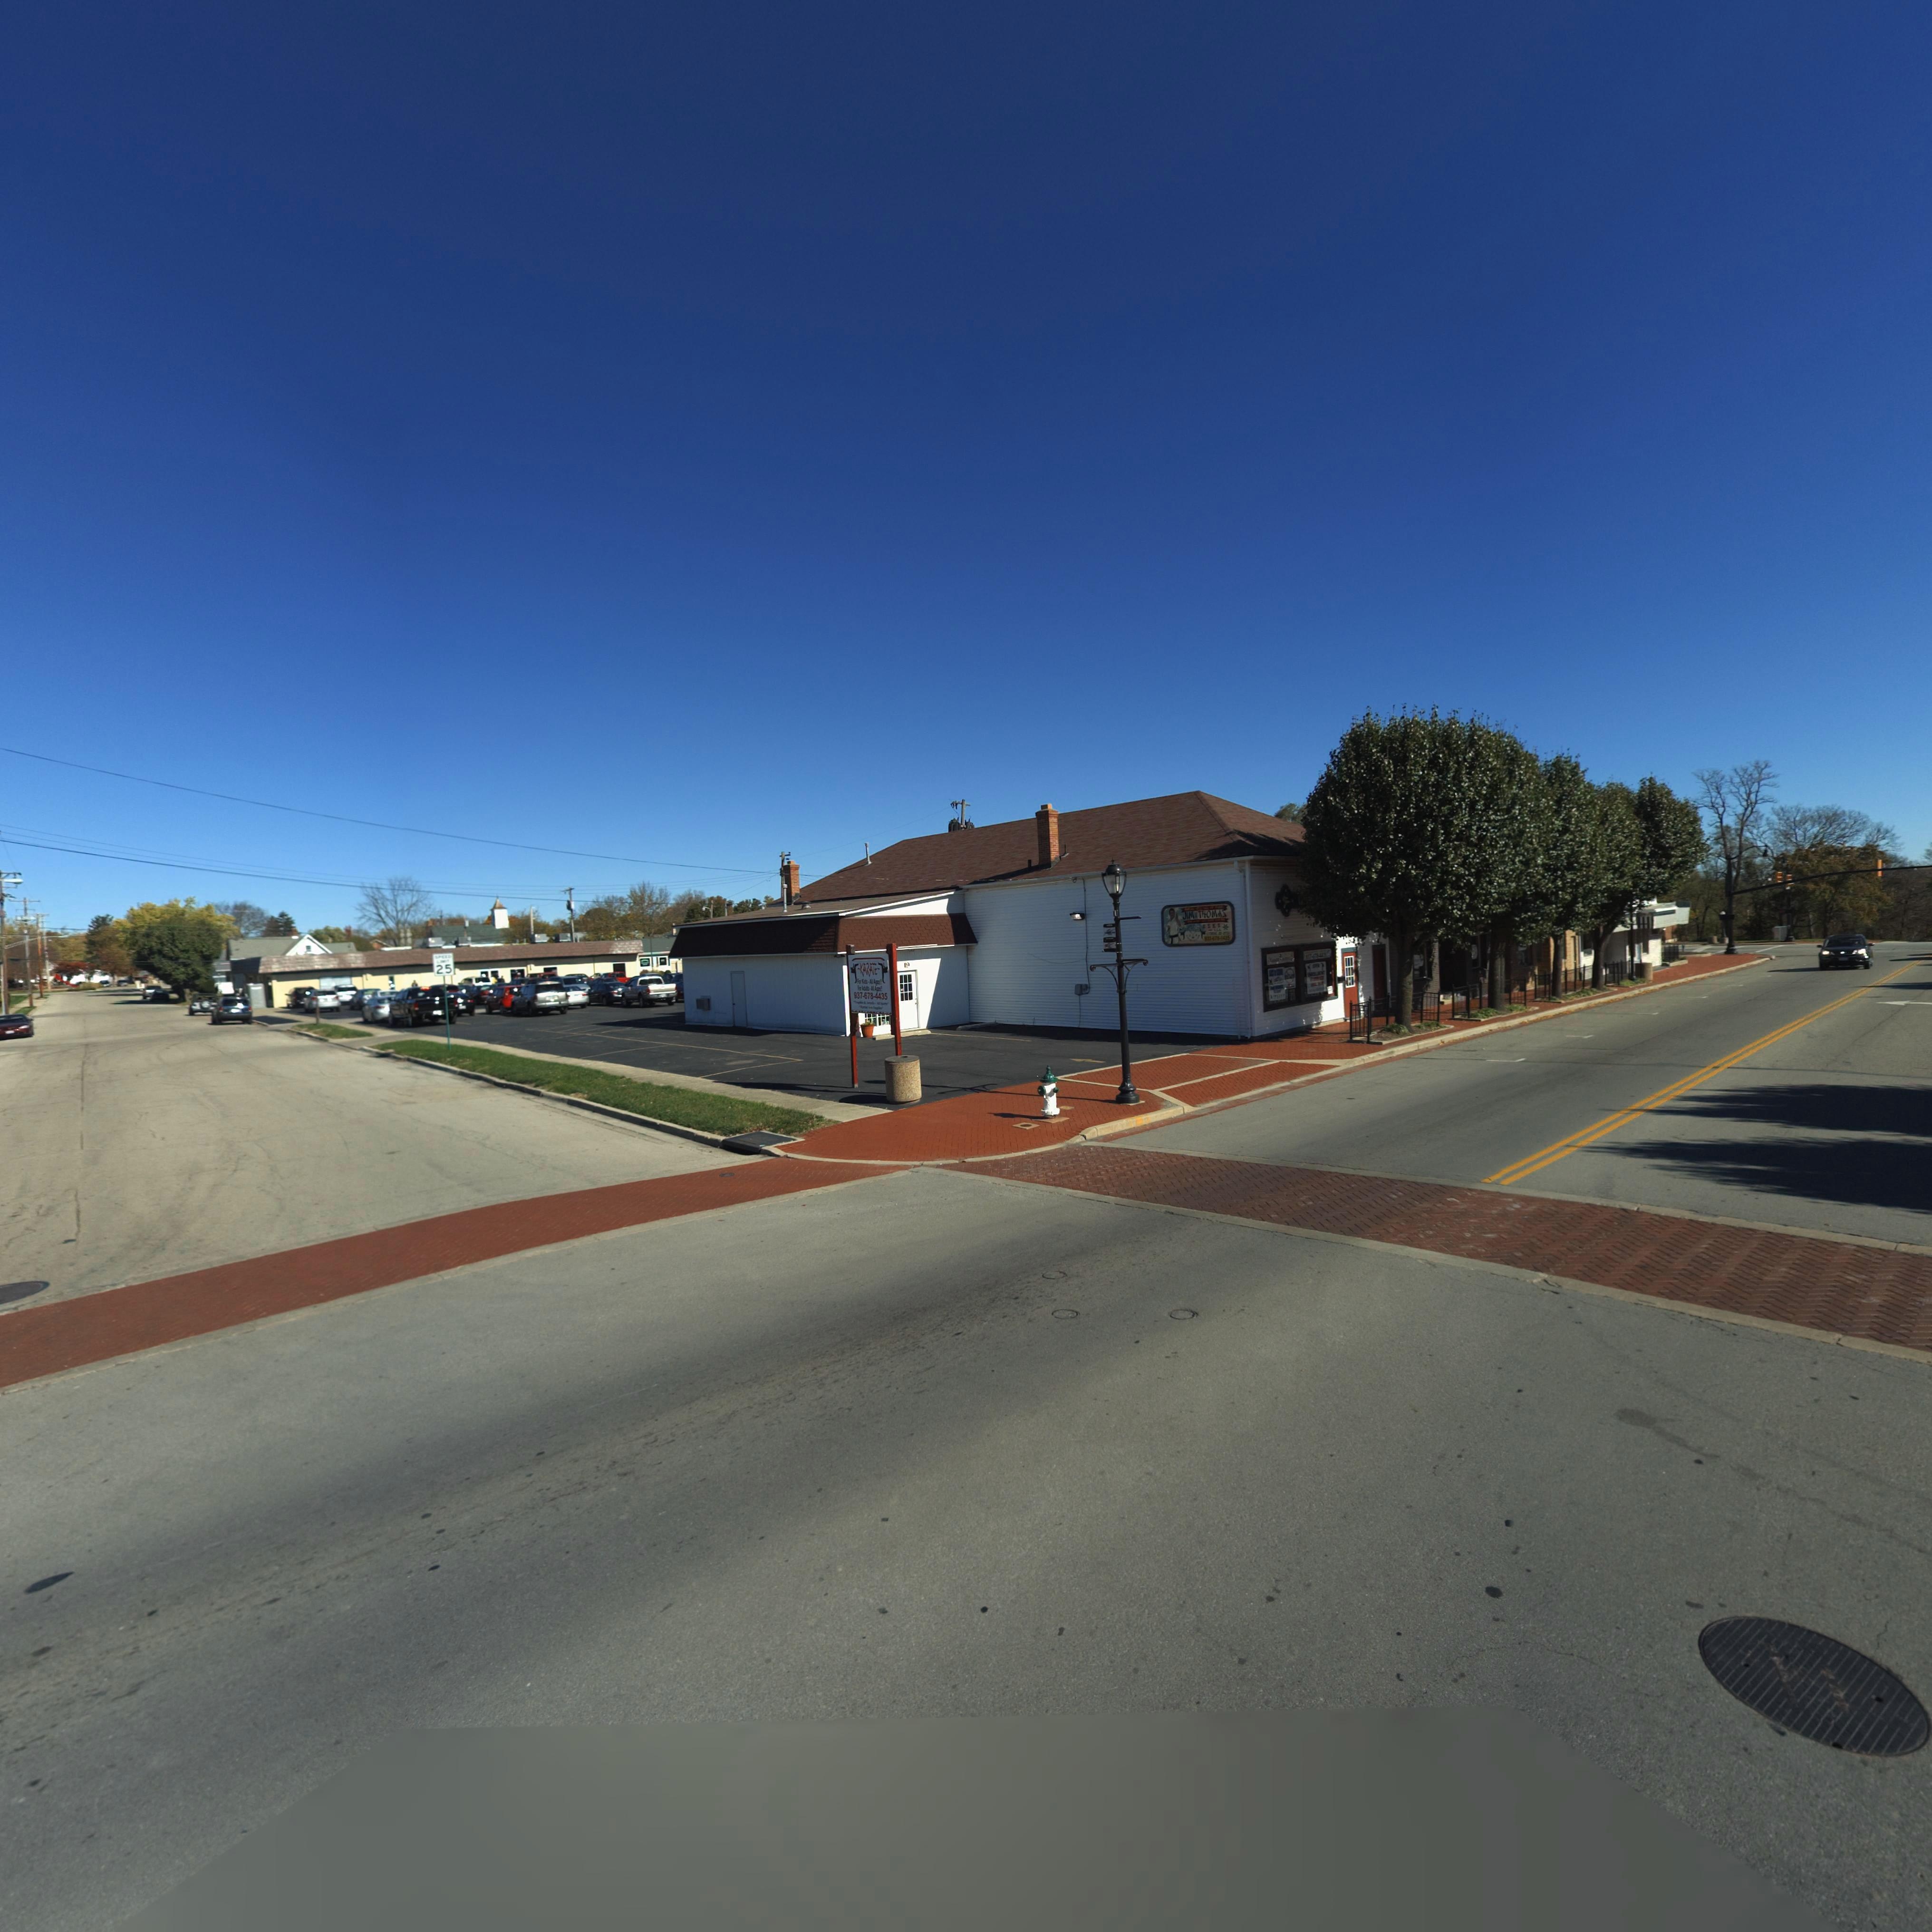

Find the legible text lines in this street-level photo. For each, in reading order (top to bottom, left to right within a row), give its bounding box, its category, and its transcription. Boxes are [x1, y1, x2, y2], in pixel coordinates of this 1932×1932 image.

[1181, 908, 1227, 920] BusinessName: JIM THOMAS
[859, 962, 878, 979] BusinessName: KARATE
[904, 962, 910, 968] StreetNumber: 19